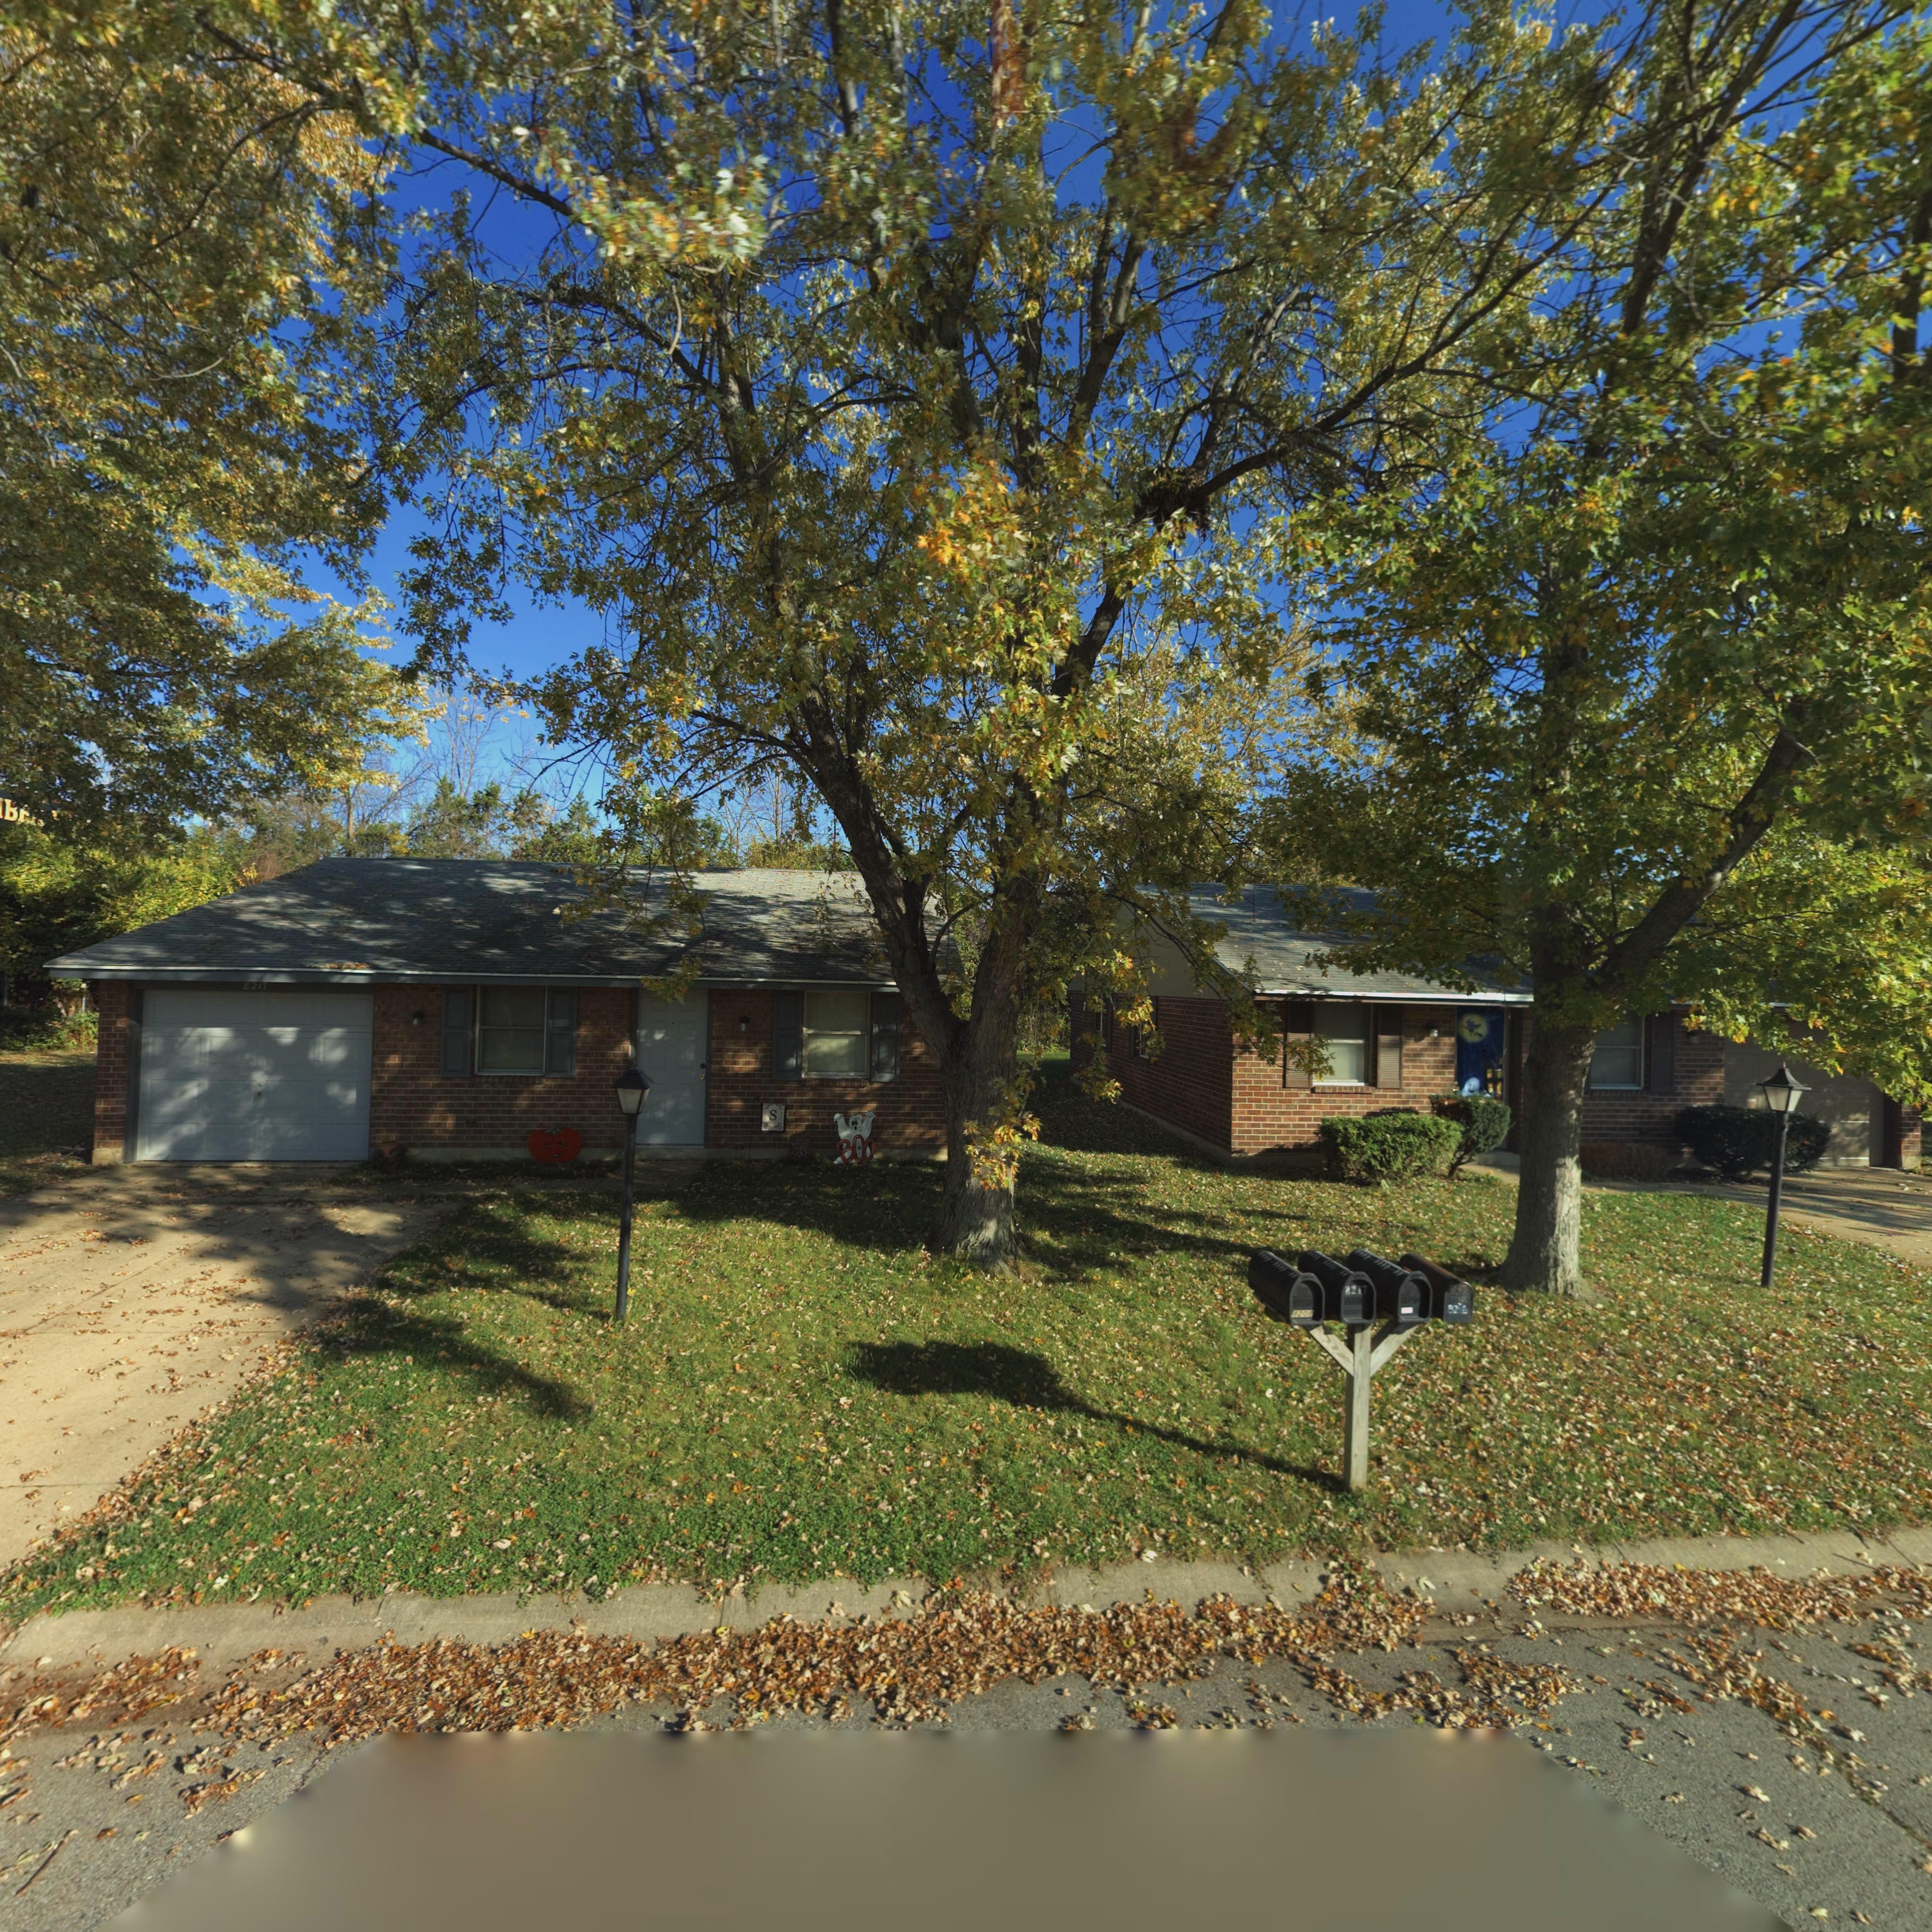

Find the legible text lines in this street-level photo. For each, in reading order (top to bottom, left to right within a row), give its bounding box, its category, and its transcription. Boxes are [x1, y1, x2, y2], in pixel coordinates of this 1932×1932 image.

[242, 981, 270, 991] StreetNumber: 8217
[1343, 1284, 1369, 1296] StreetNumber: 8217
[1292, 1309, 1314, 1318] StreetNumber: 8208
[1446, 1304, 1468, 1315] StreetNumber: 8215